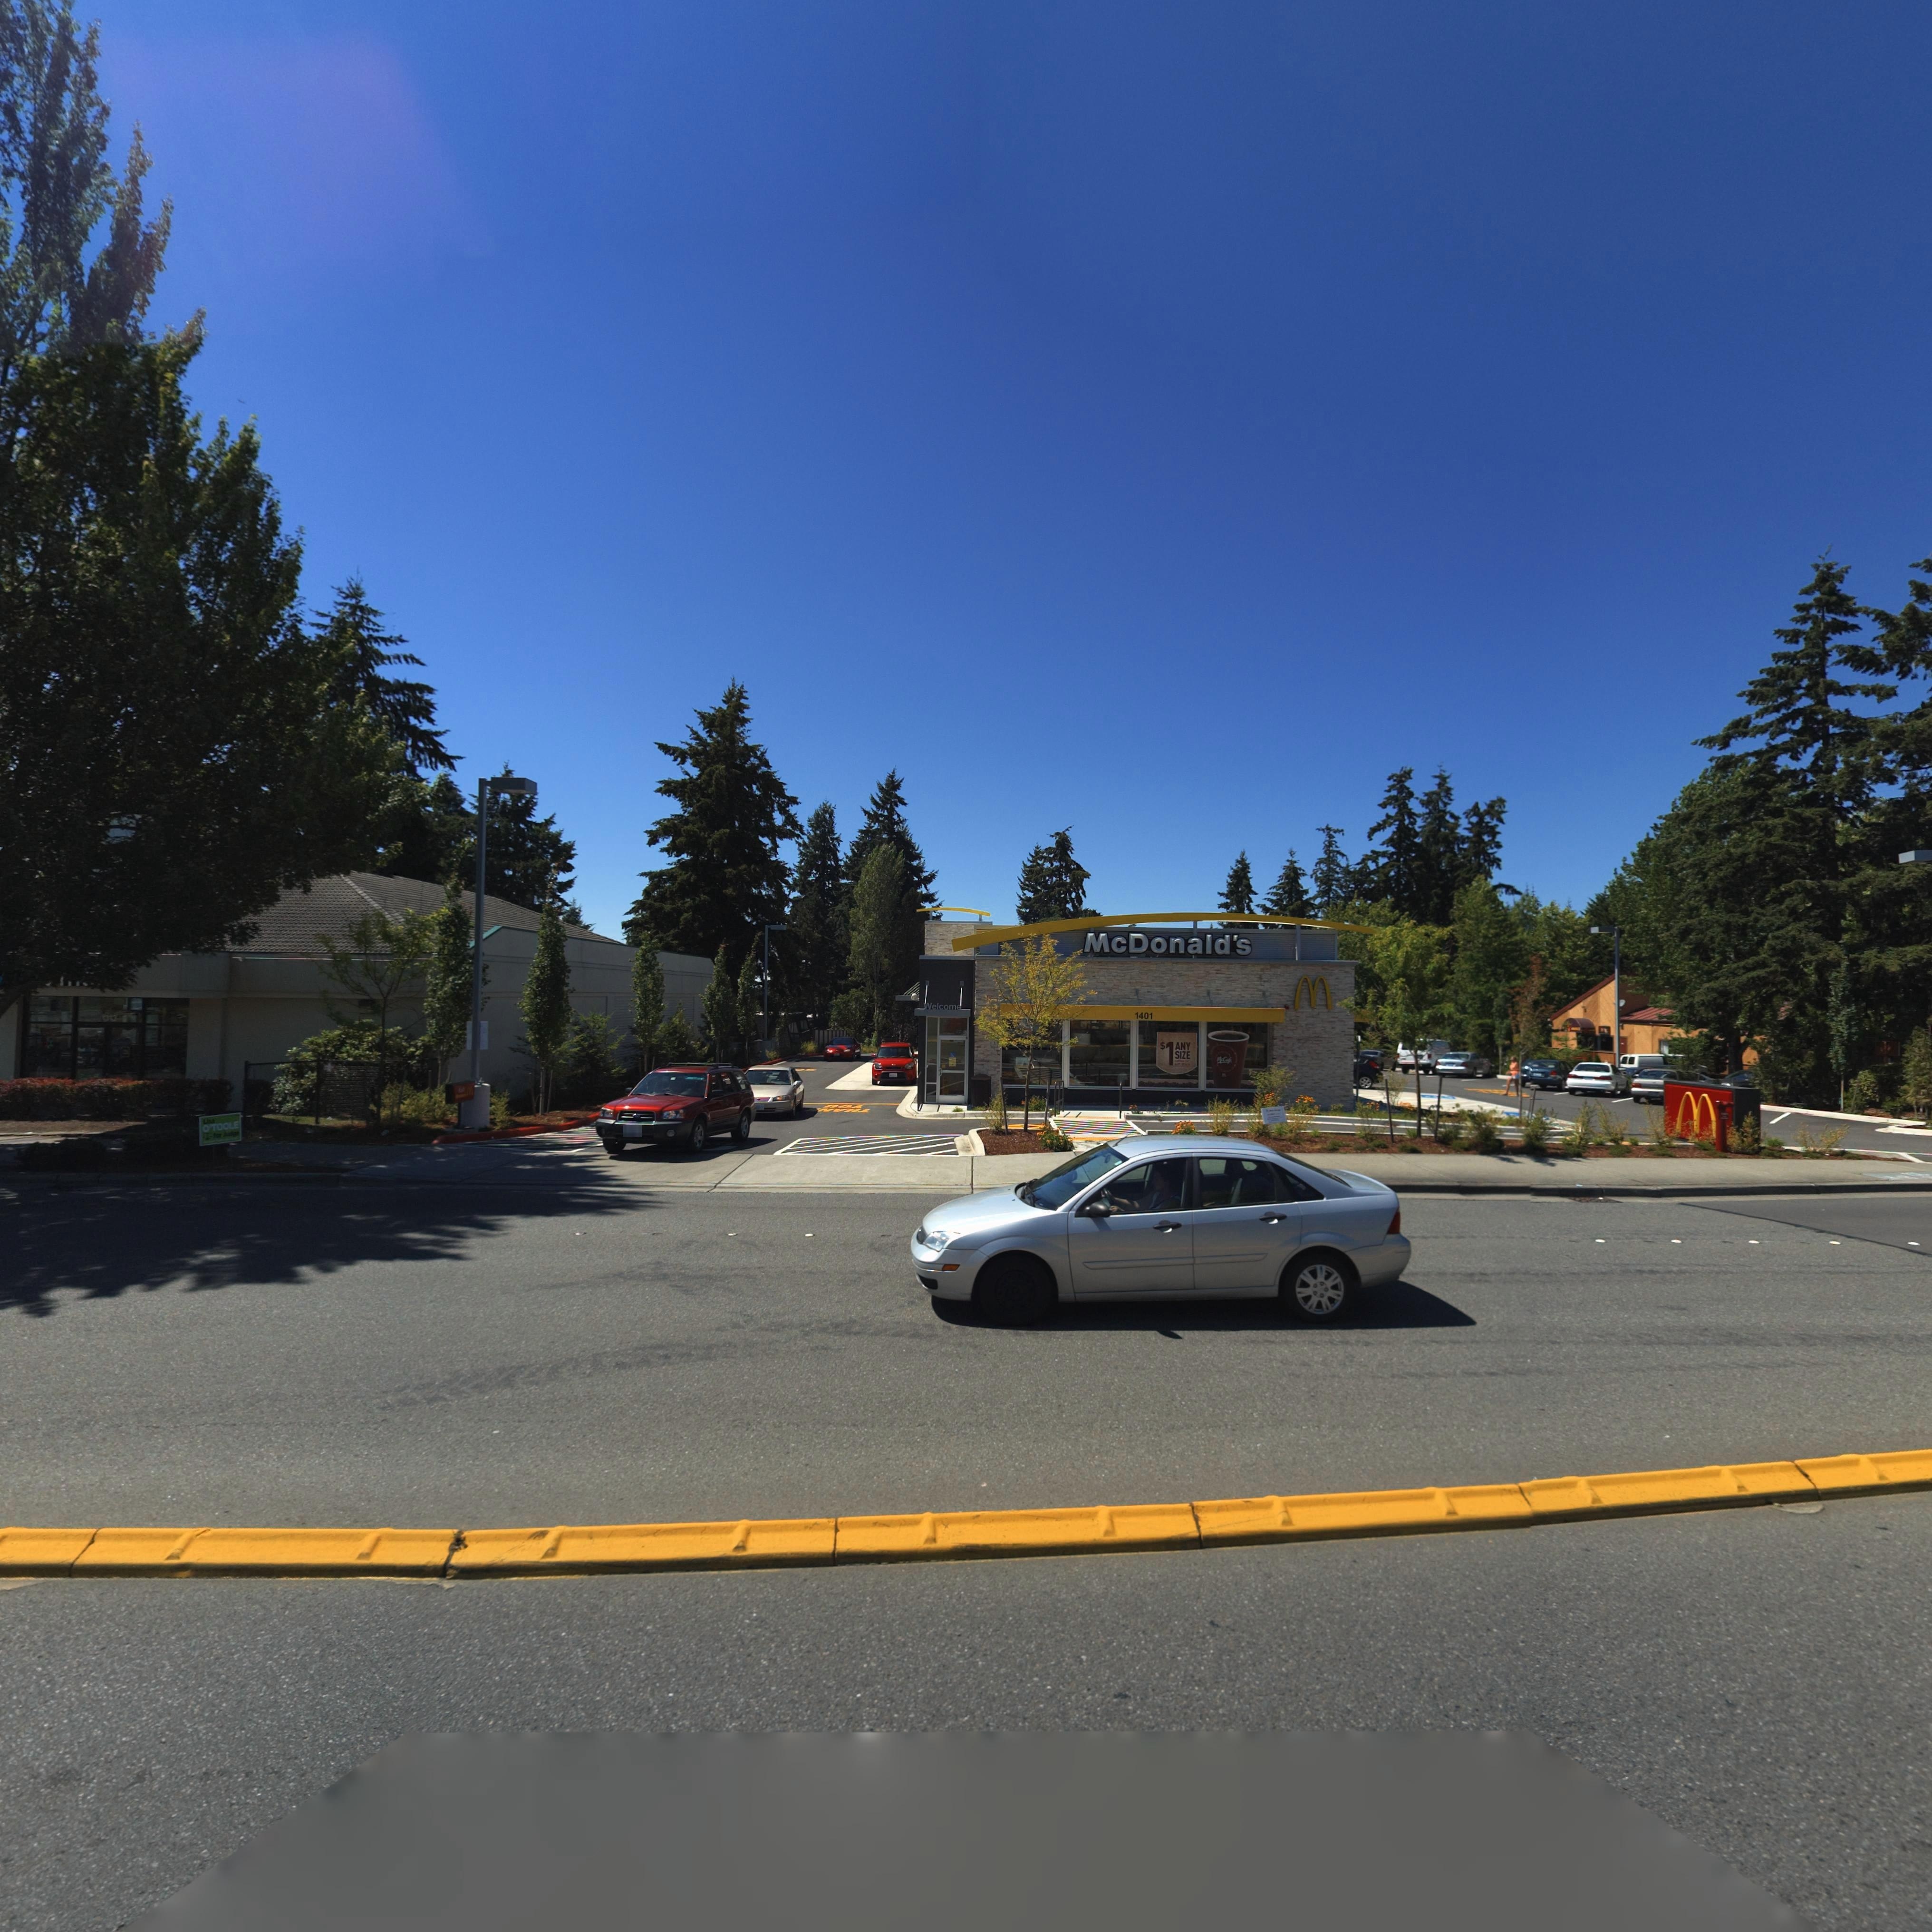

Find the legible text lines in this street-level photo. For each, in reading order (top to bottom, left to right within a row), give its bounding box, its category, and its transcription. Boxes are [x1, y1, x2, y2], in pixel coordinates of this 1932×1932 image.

[1083, 931, 1256, 959] BusinessName: McDonald*s
[1133, 1011, 1153, 1020] StreetNumber: 1401